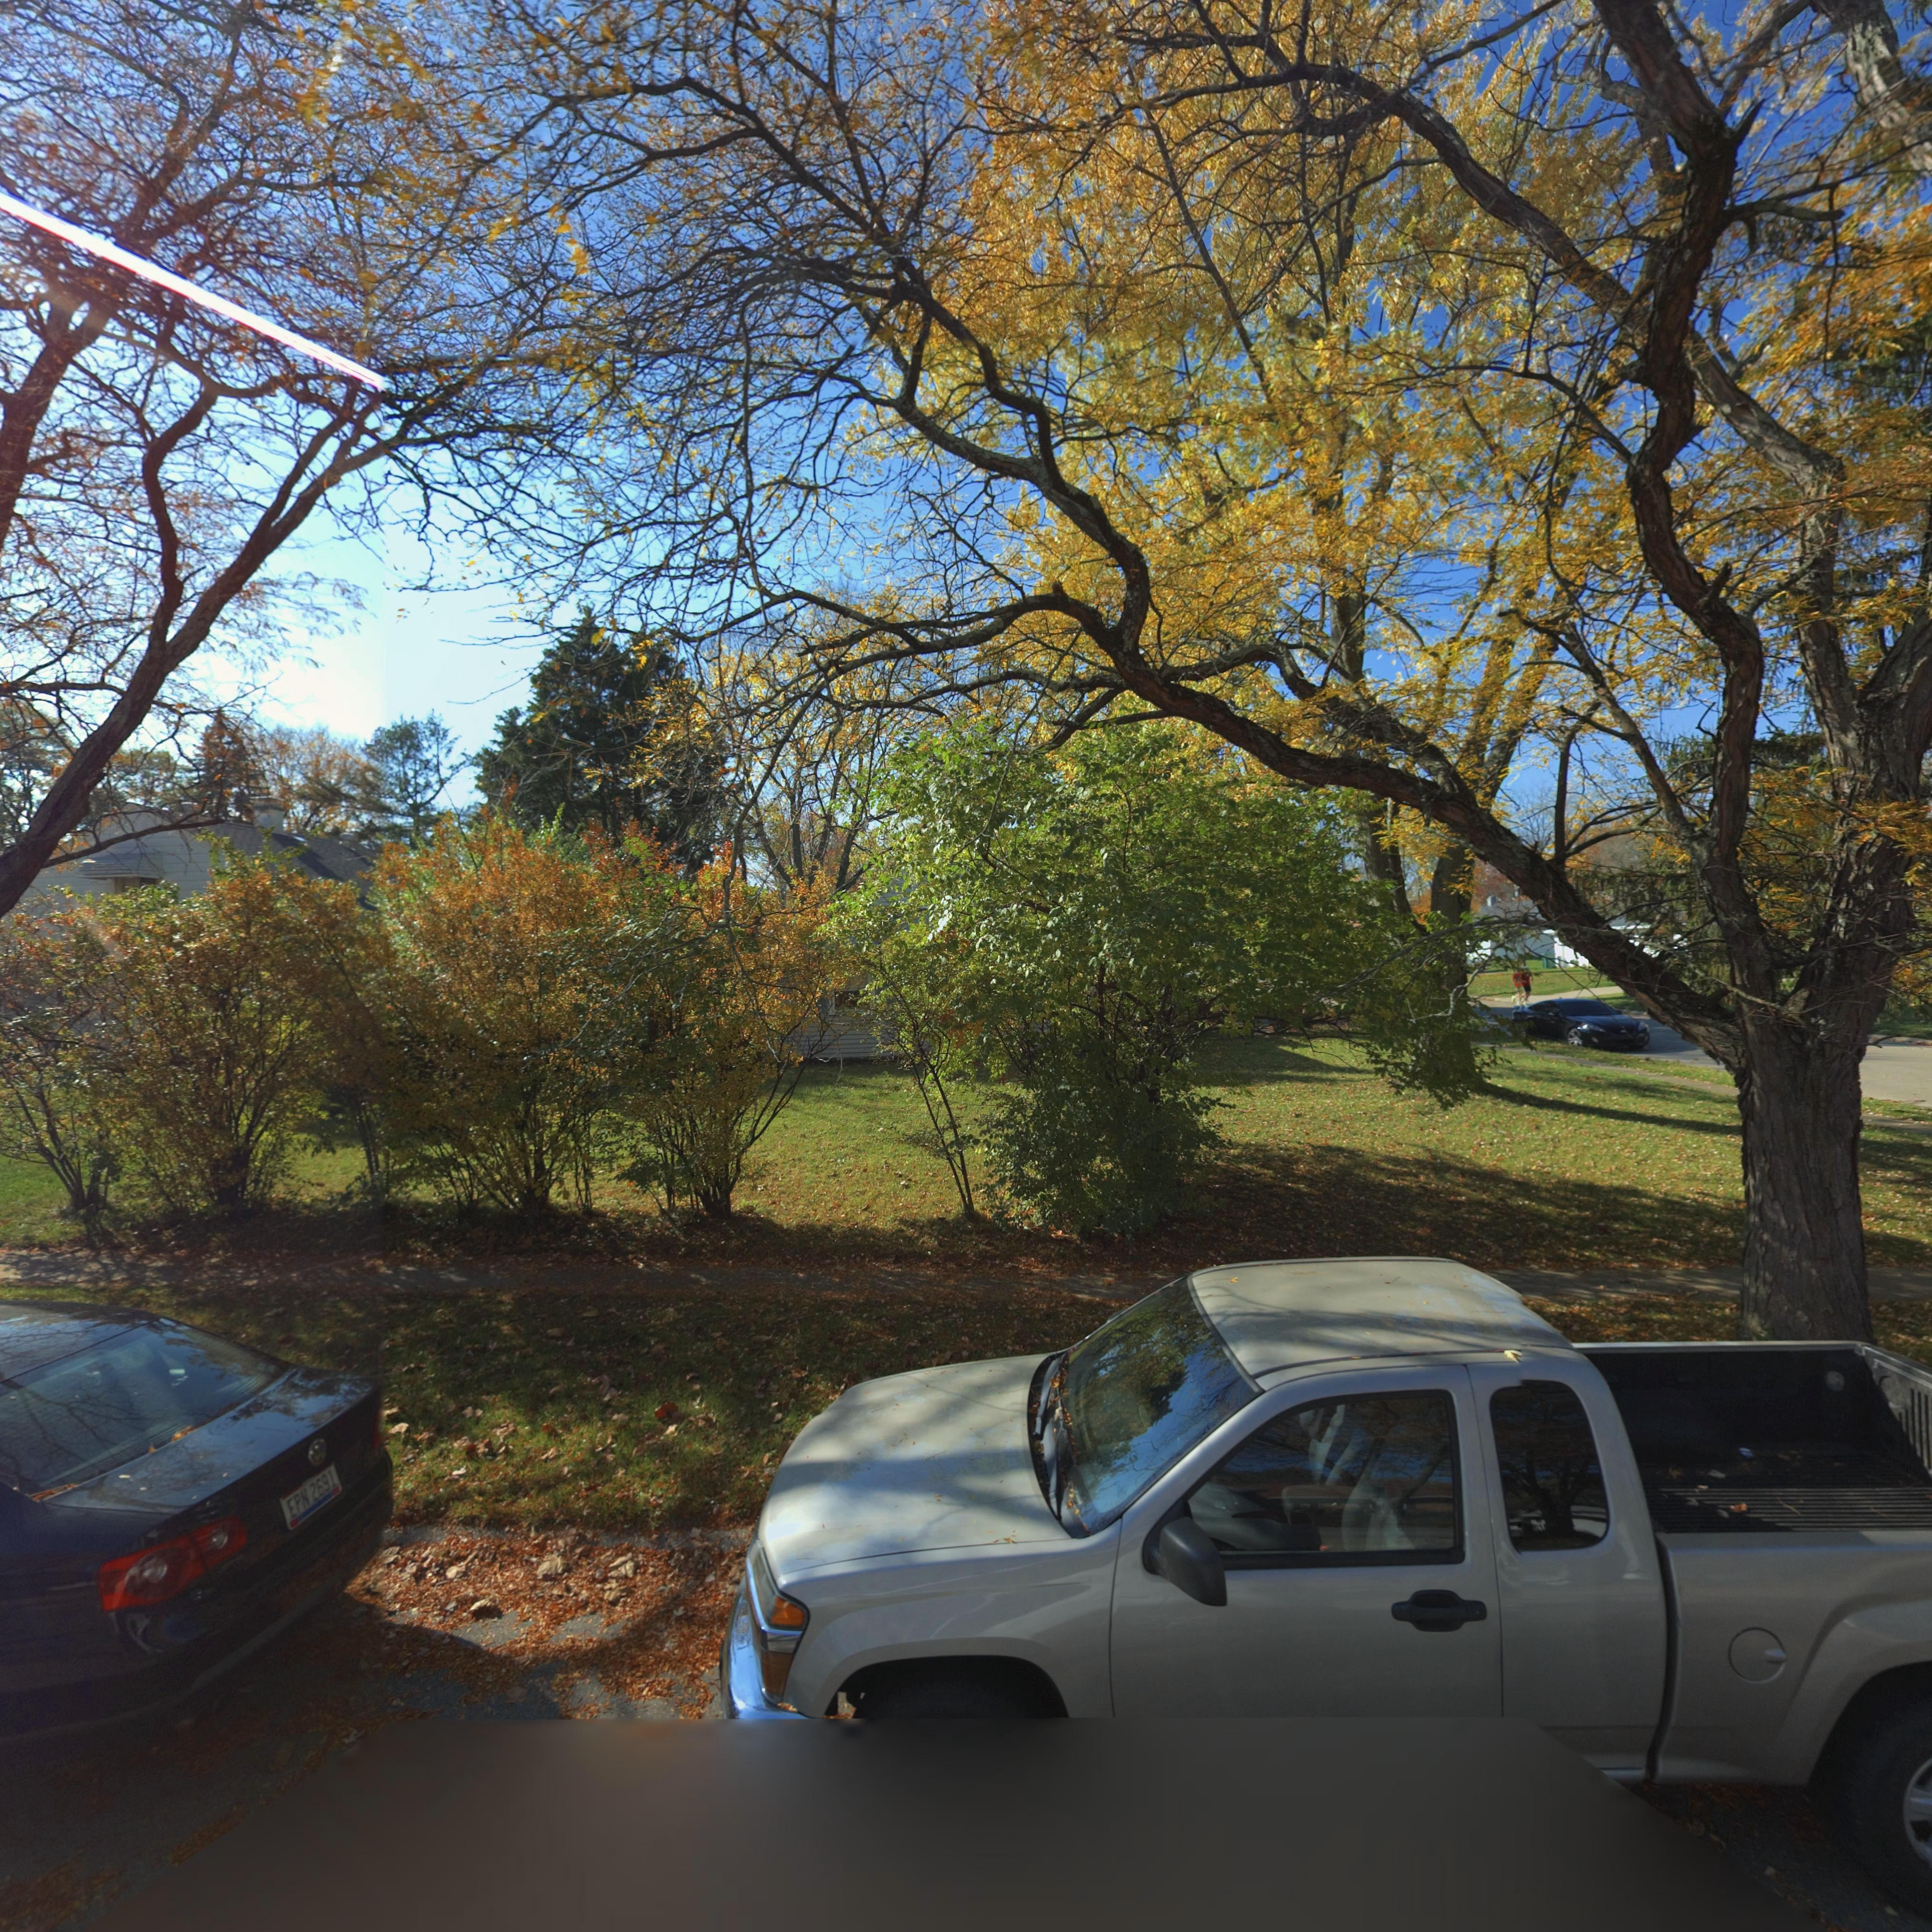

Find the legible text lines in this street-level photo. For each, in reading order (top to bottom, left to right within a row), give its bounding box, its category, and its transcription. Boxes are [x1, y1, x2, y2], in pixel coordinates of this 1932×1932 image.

[285, 1468, 337, 1521] None: EPN*2691